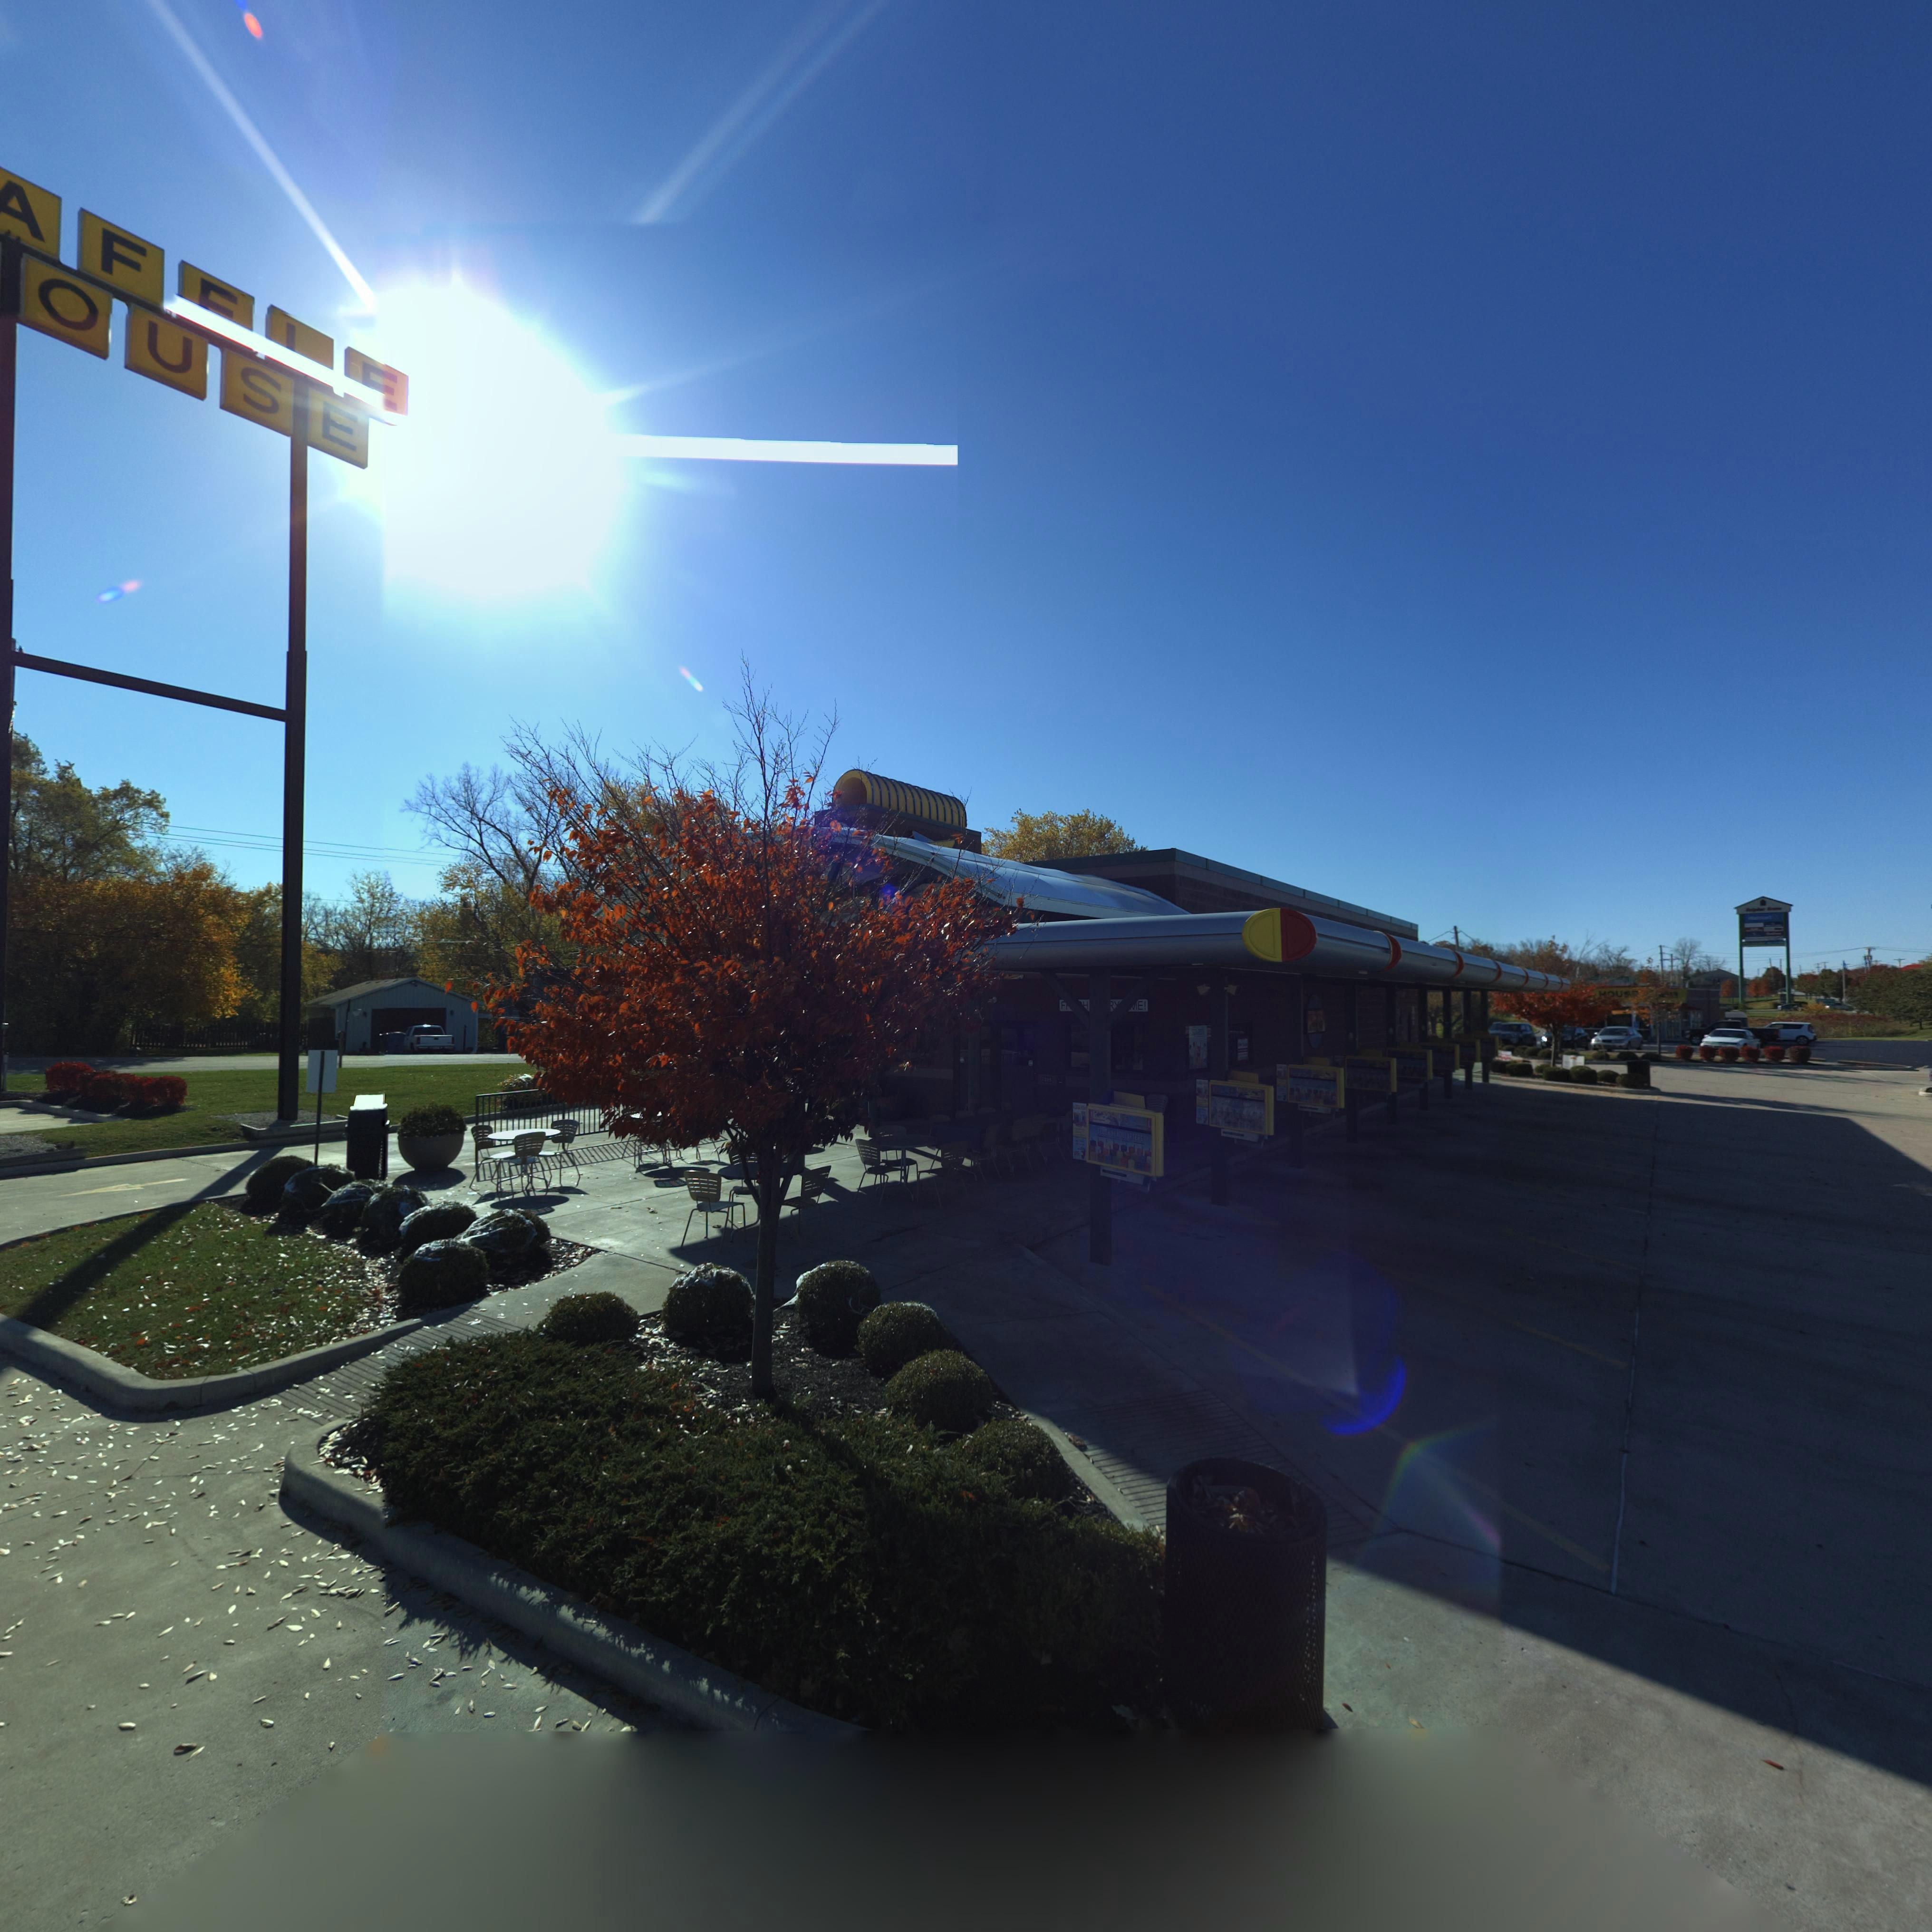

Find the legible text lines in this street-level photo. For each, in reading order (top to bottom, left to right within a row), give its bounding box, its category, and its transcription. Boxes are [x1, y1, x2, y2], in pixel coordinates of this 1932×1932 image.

[1041, 1076, 1052, 1083] StreetNumber: 7***